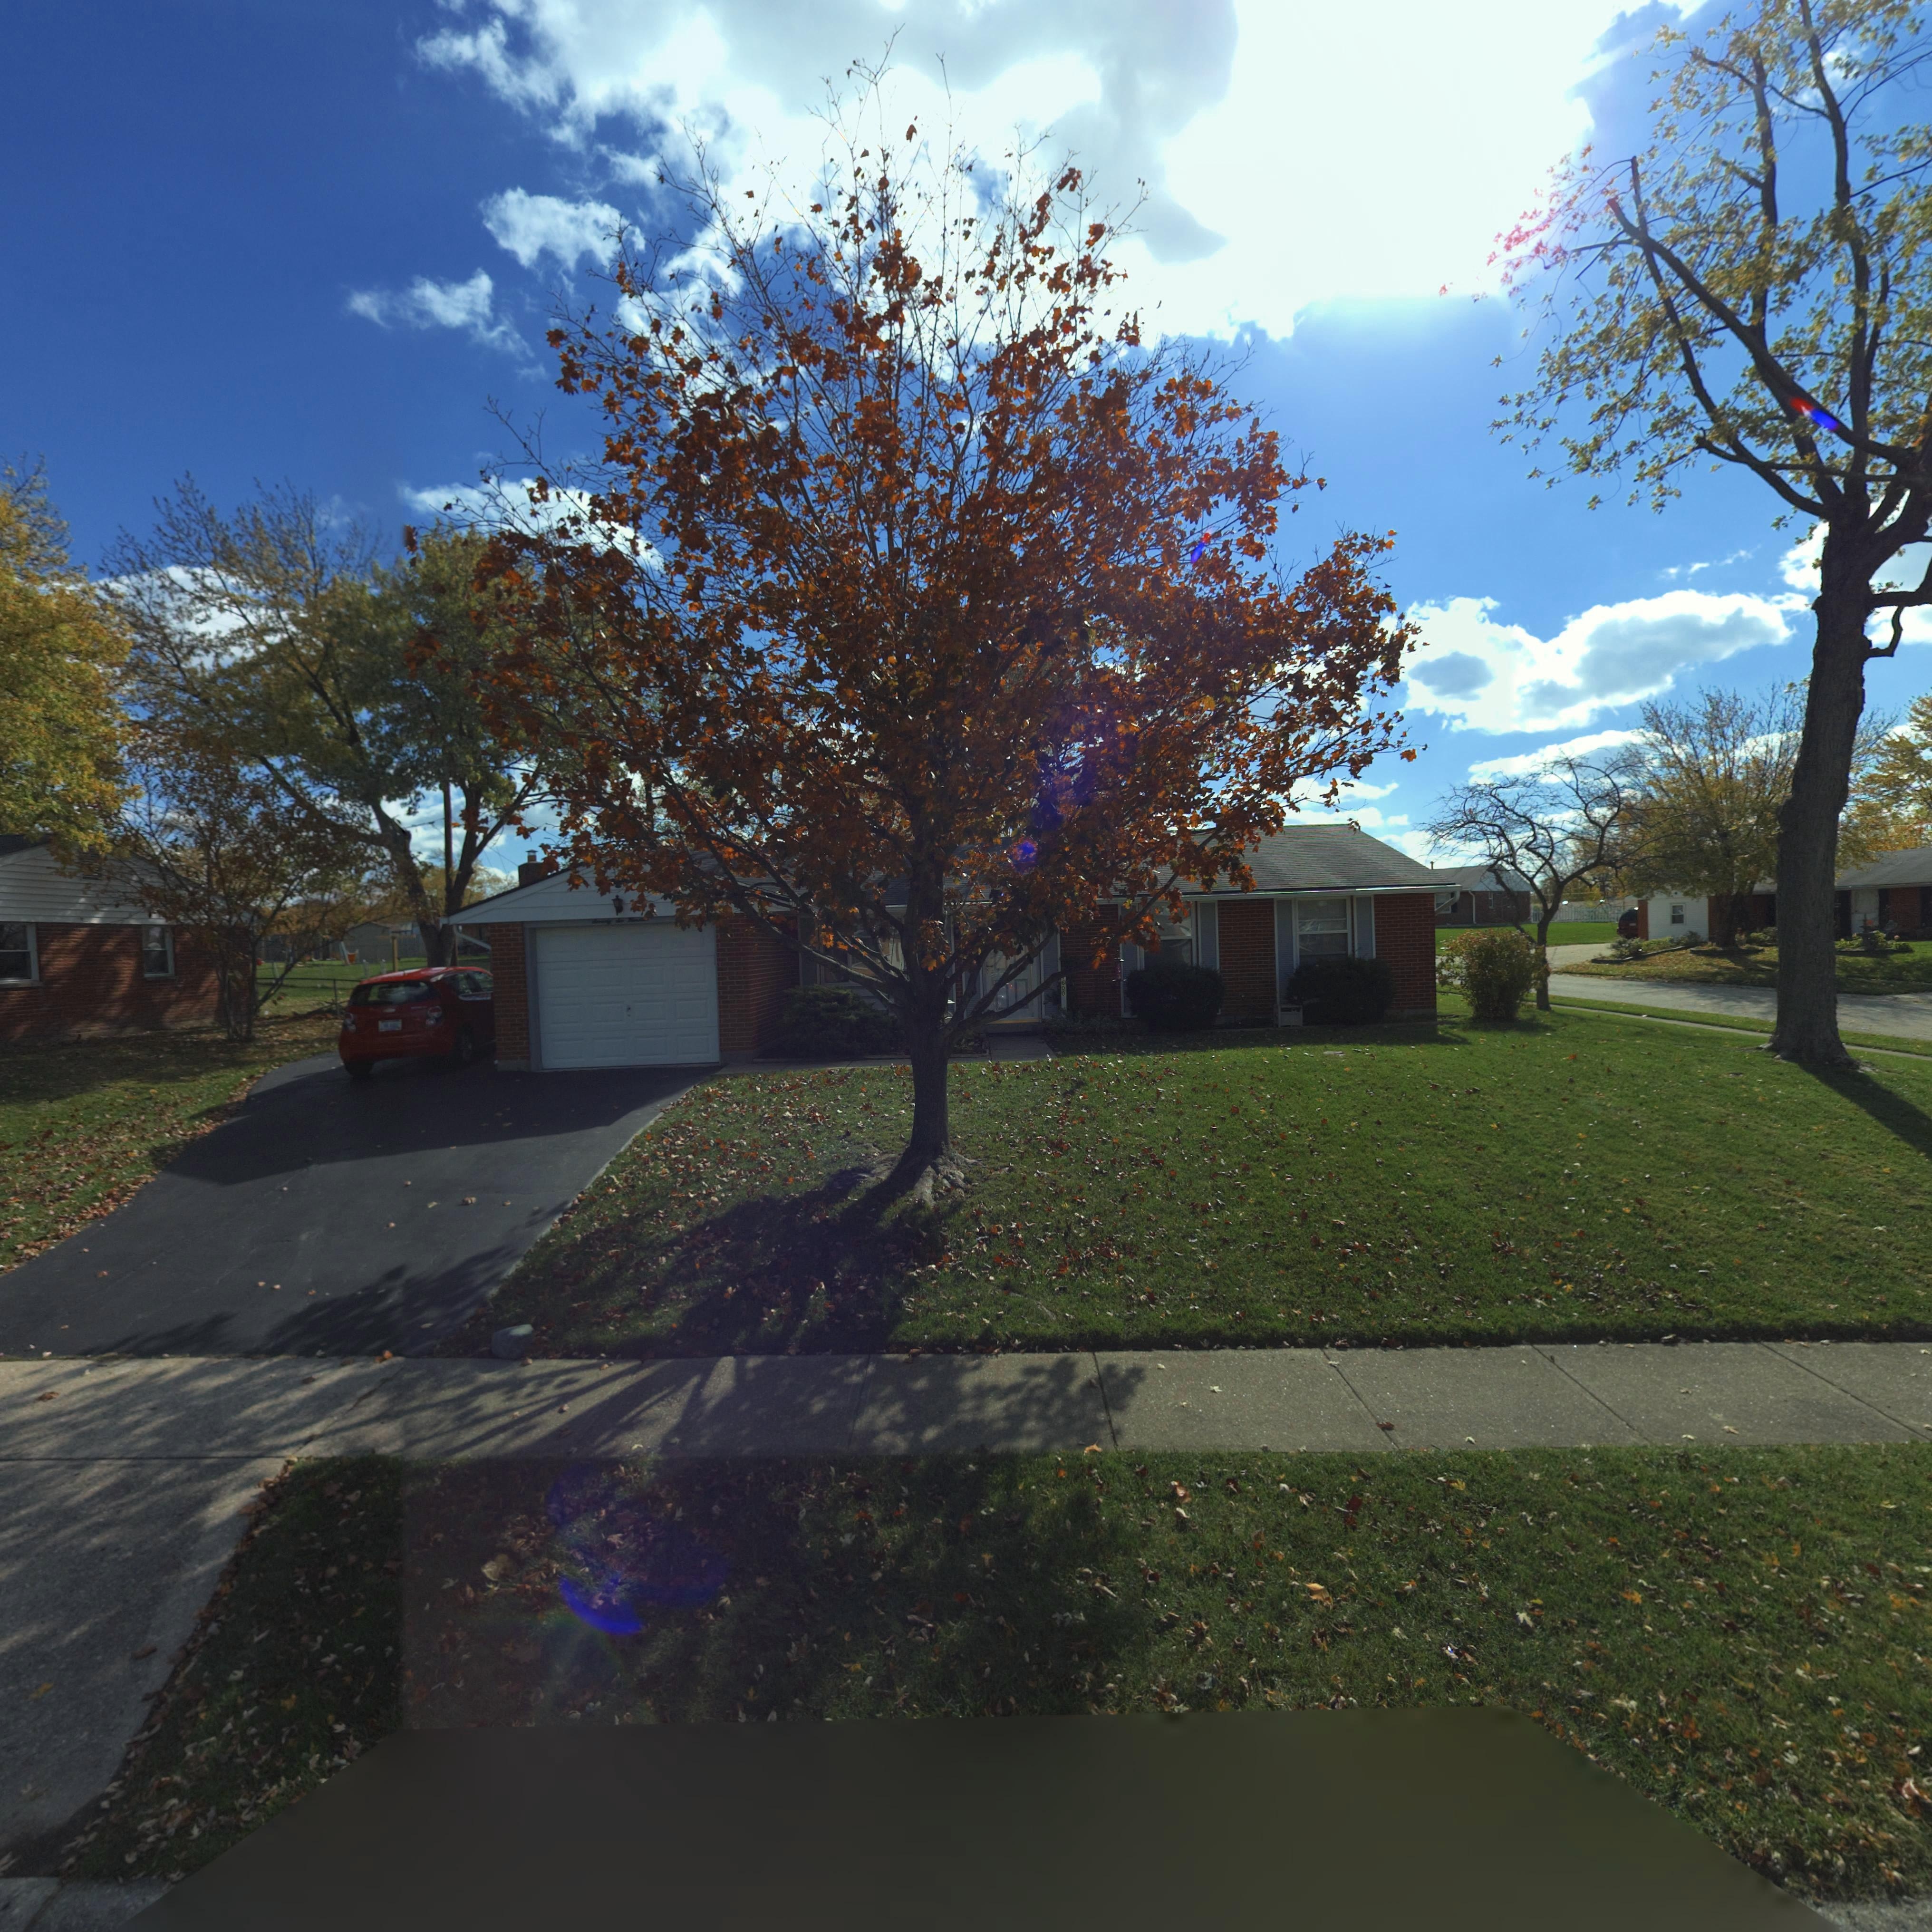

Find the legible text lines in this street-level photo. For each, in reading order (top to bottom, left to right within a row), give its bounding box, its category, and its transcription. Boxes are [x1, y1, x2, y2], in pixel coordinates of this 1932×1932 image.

[1061, 980, 1065, 996] StreetNumber: 600